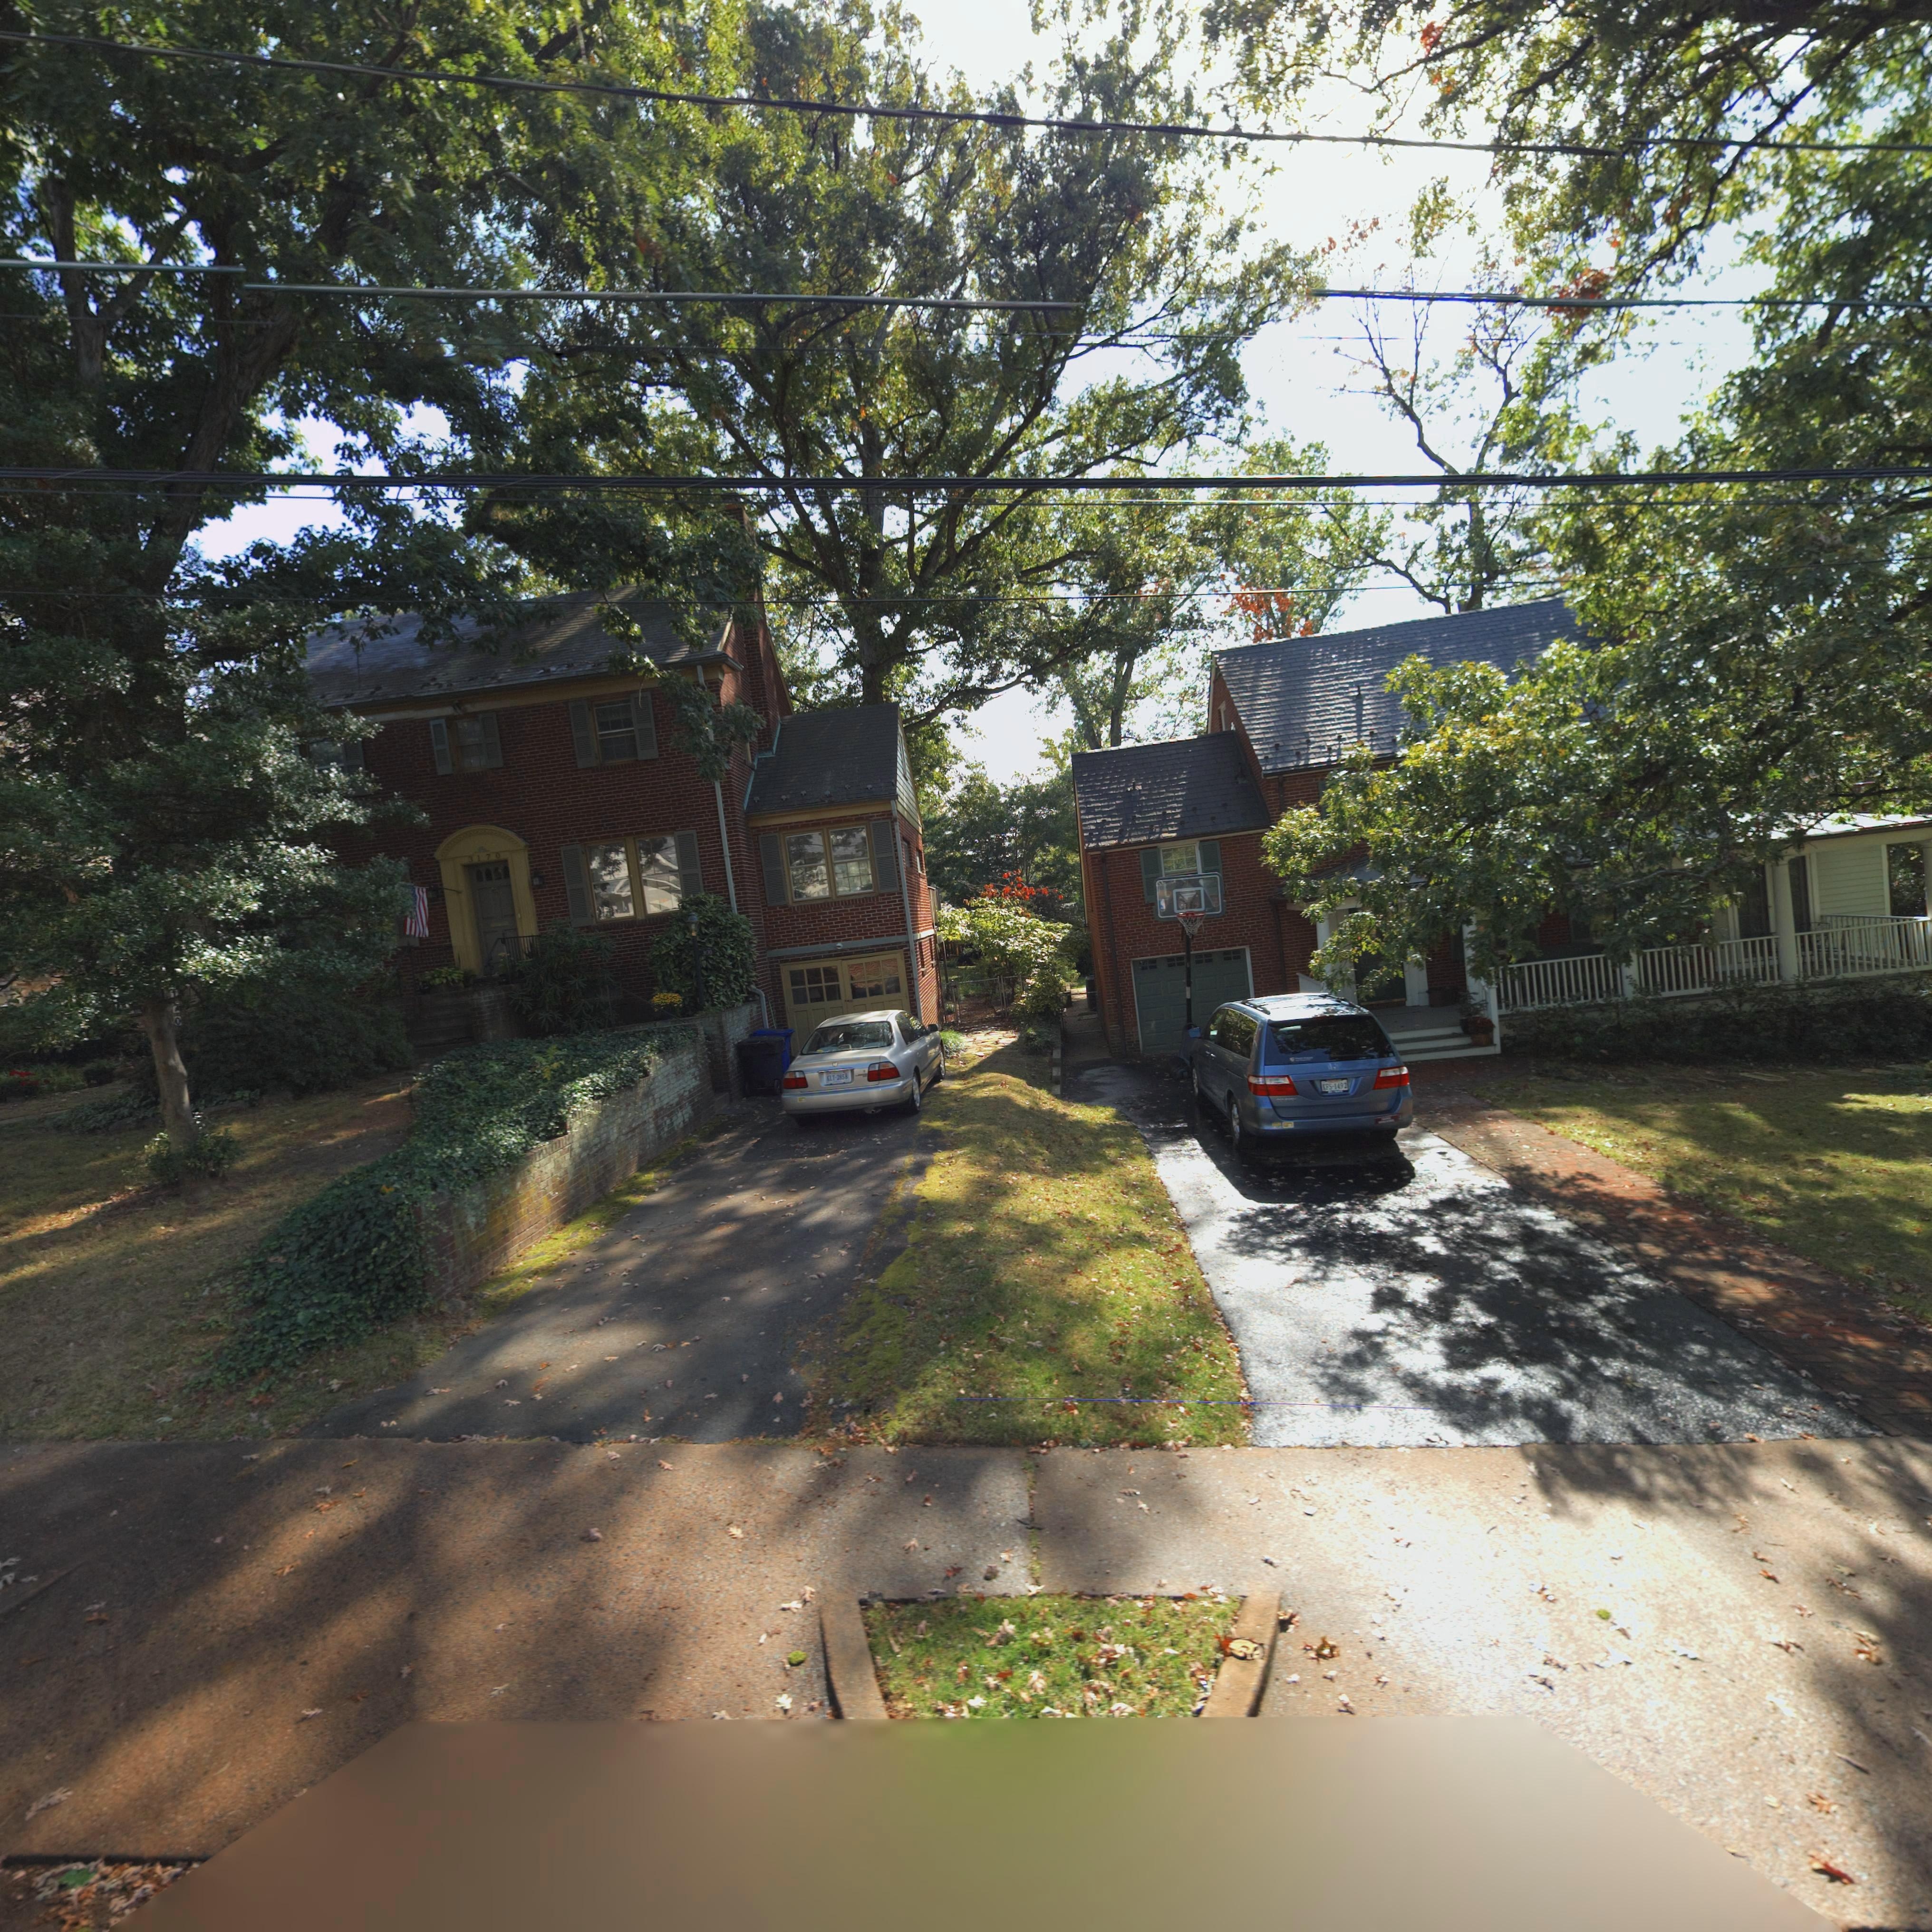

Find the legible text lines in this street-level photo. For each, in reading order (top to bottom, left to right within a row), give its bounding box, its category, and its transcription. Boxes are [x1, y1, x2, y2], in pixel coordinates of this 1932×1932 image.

[466, 851, 502, 864] StreetNumber: 3170
[173, 1015, 182, 1028] StreetNumber: 0
[835, 1072, 849, 1082] None: 285*
[1322, 1081, 1348, 1092] None: *FS-1492